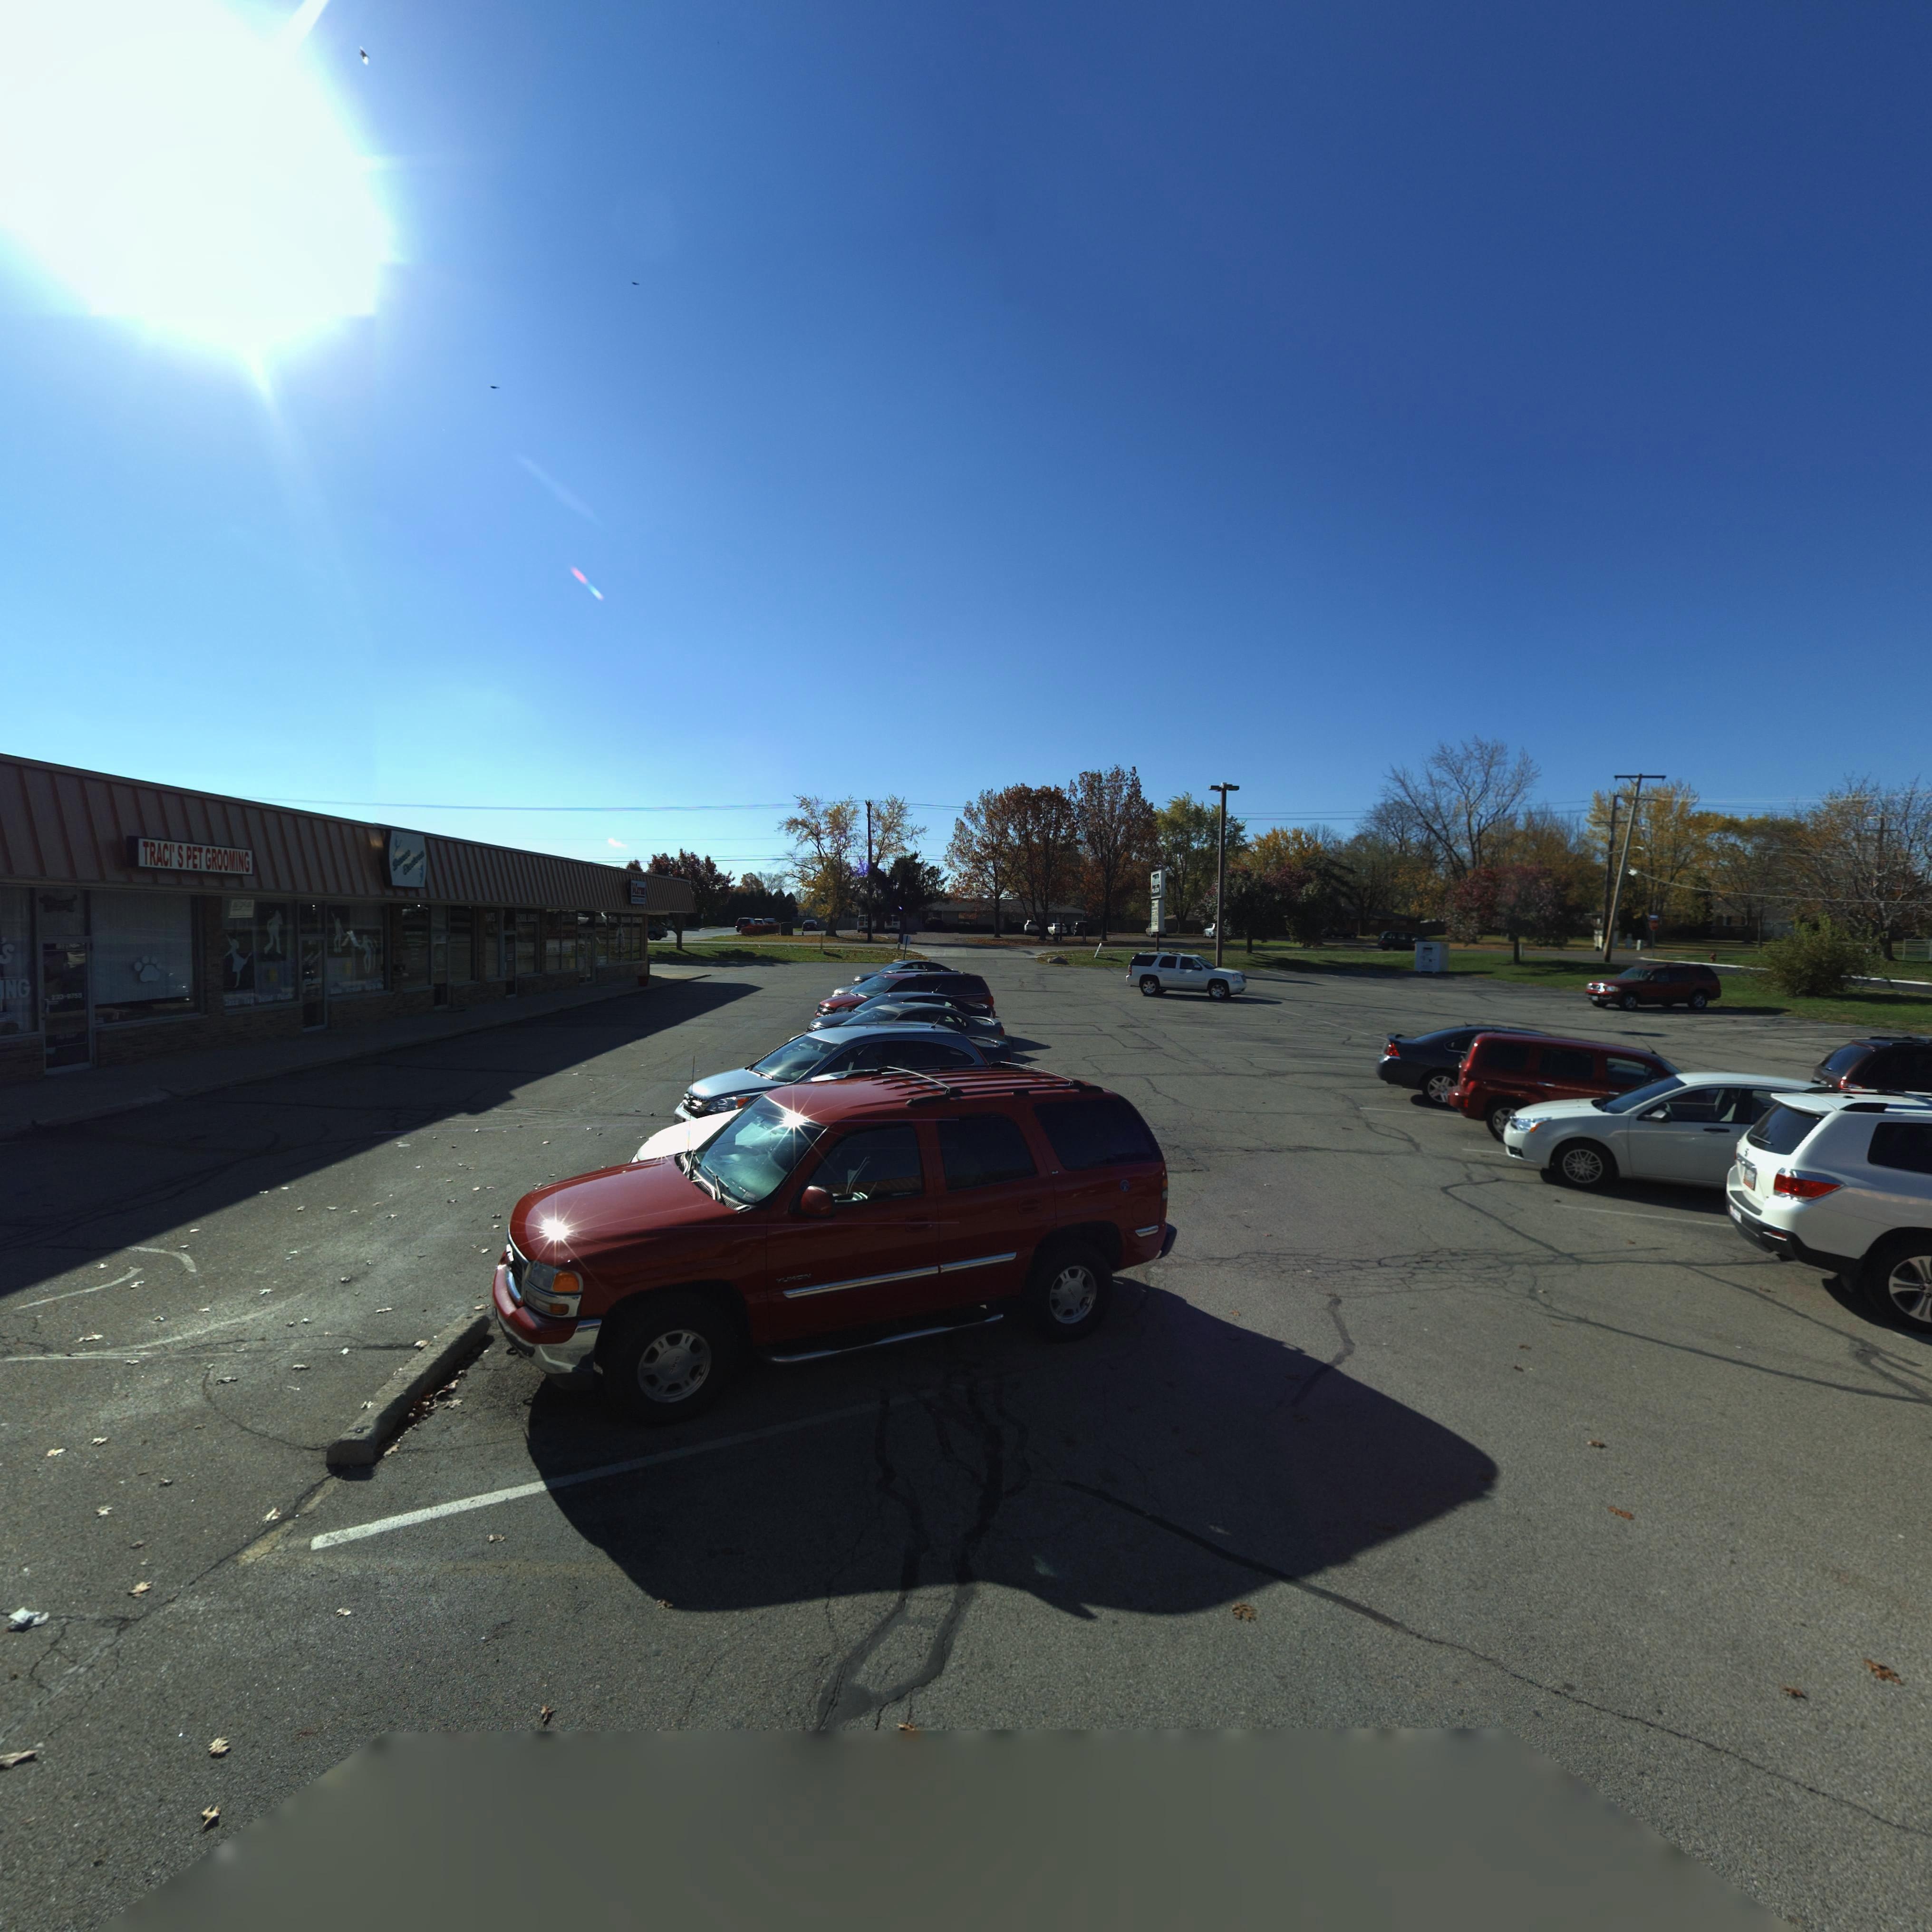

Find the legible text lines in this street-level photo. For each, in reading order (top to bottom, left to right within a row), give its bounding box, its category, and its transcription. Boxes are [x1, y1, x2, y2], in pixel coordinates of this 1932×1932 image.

[142, 840, 251, 874] BusinessName: TRACI'S PET GROOMING
[63, 943, 69, 949] StreetNumber: 21